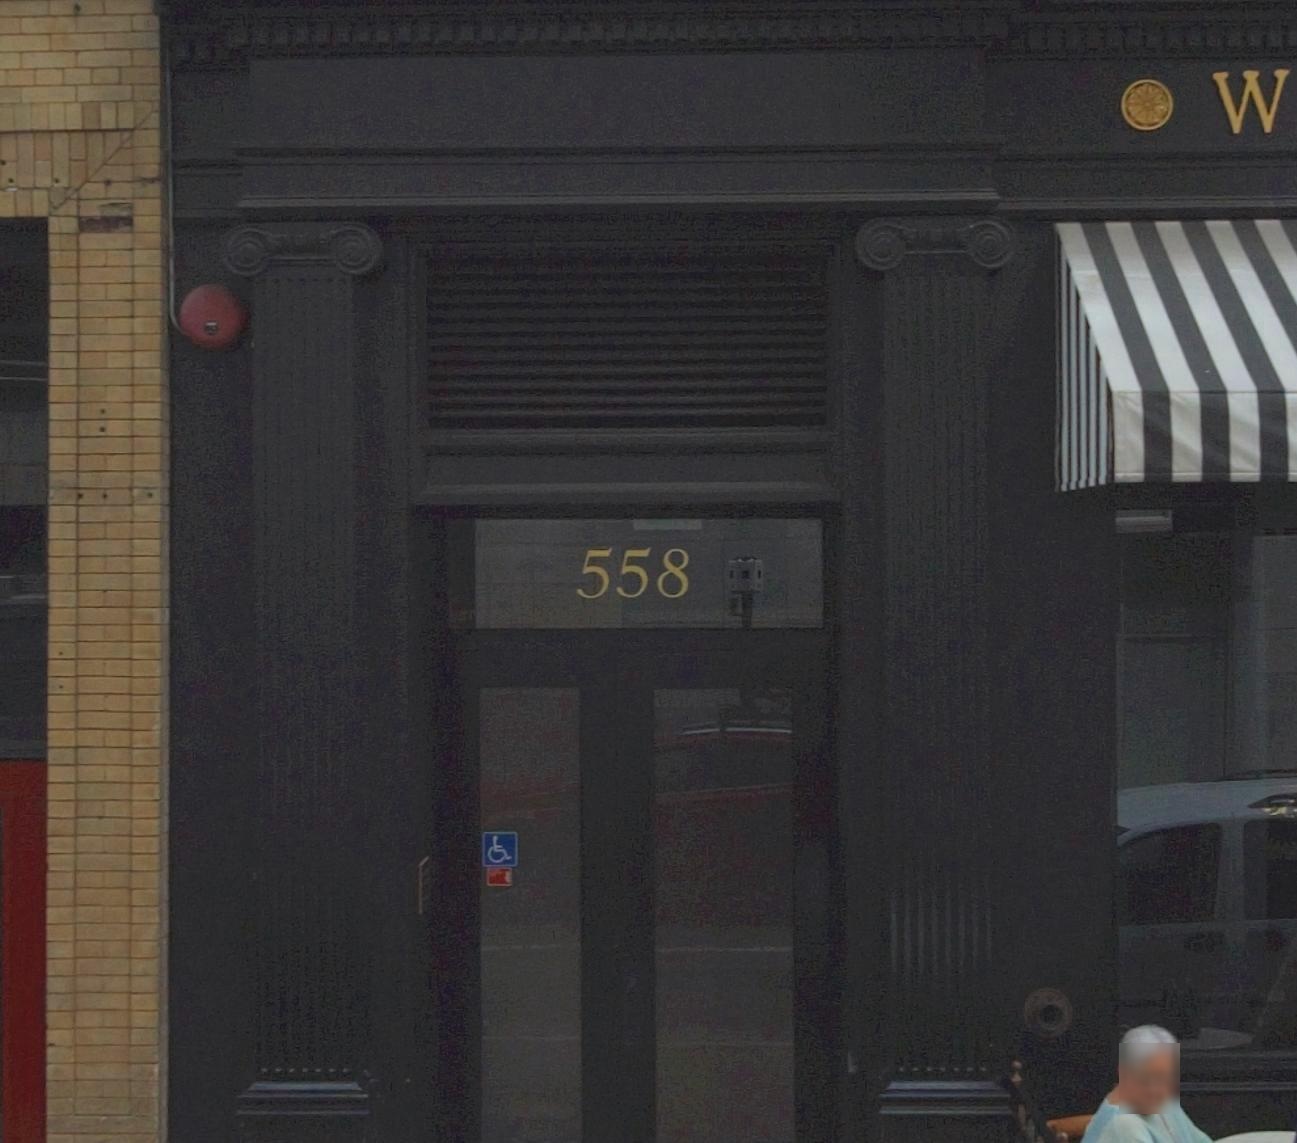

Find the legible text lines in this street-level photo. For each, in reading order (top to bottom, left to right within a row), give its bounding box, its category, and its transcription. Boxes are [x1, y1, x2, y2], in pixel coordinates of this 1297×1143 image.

[1203, 65, 1294, 141] None: W
[568, 542, 693, 603] StreetNumber: 558